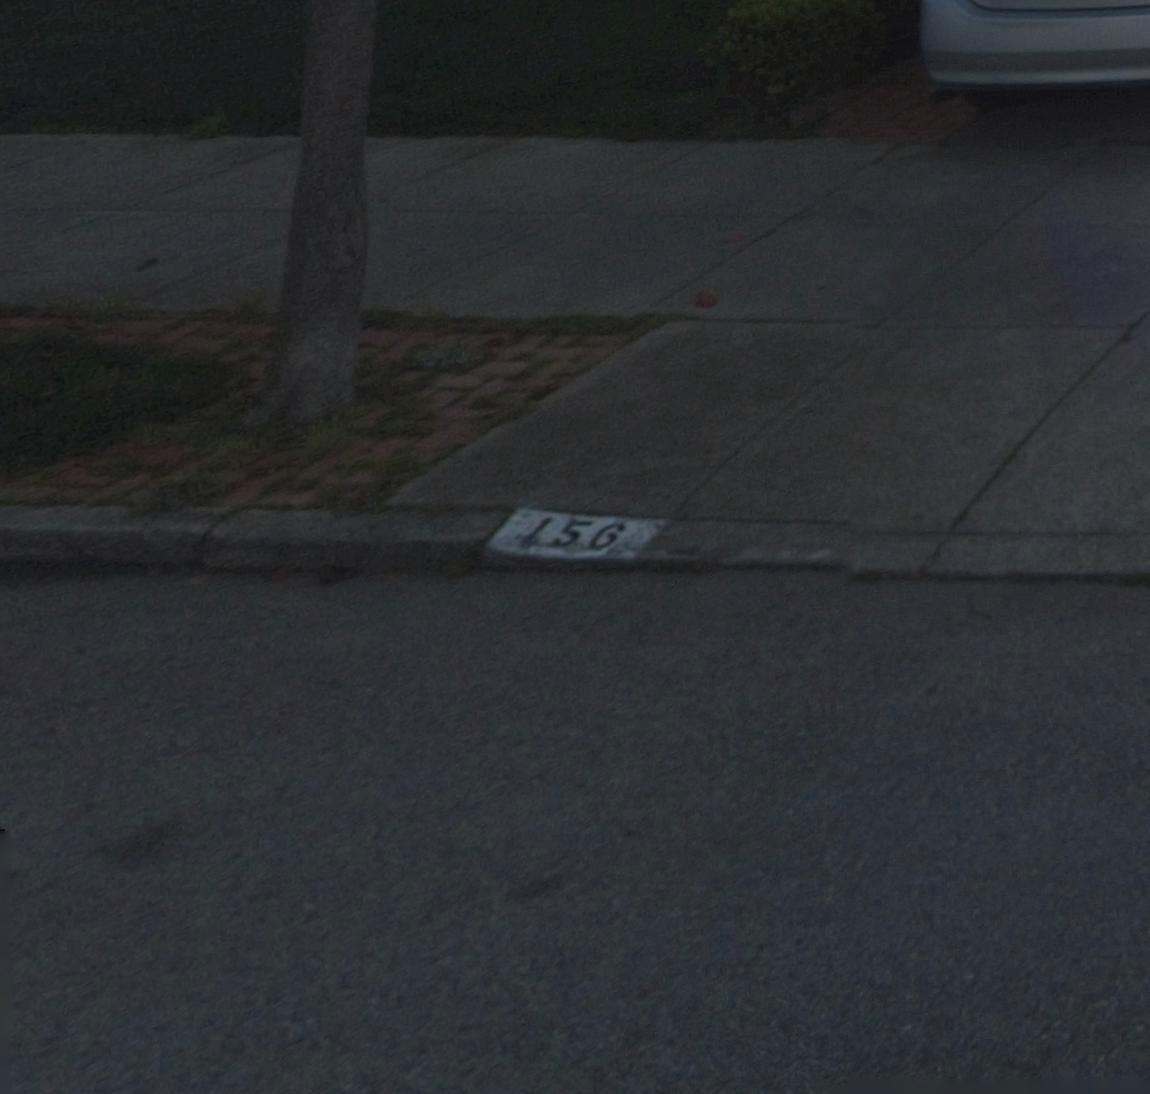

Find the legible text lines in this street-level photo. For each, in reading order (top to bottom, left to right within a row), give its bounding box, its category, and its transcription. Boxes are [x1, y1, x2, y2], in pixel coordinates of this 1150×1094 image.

[510, 513, 636, 556] StreetNumber: 156